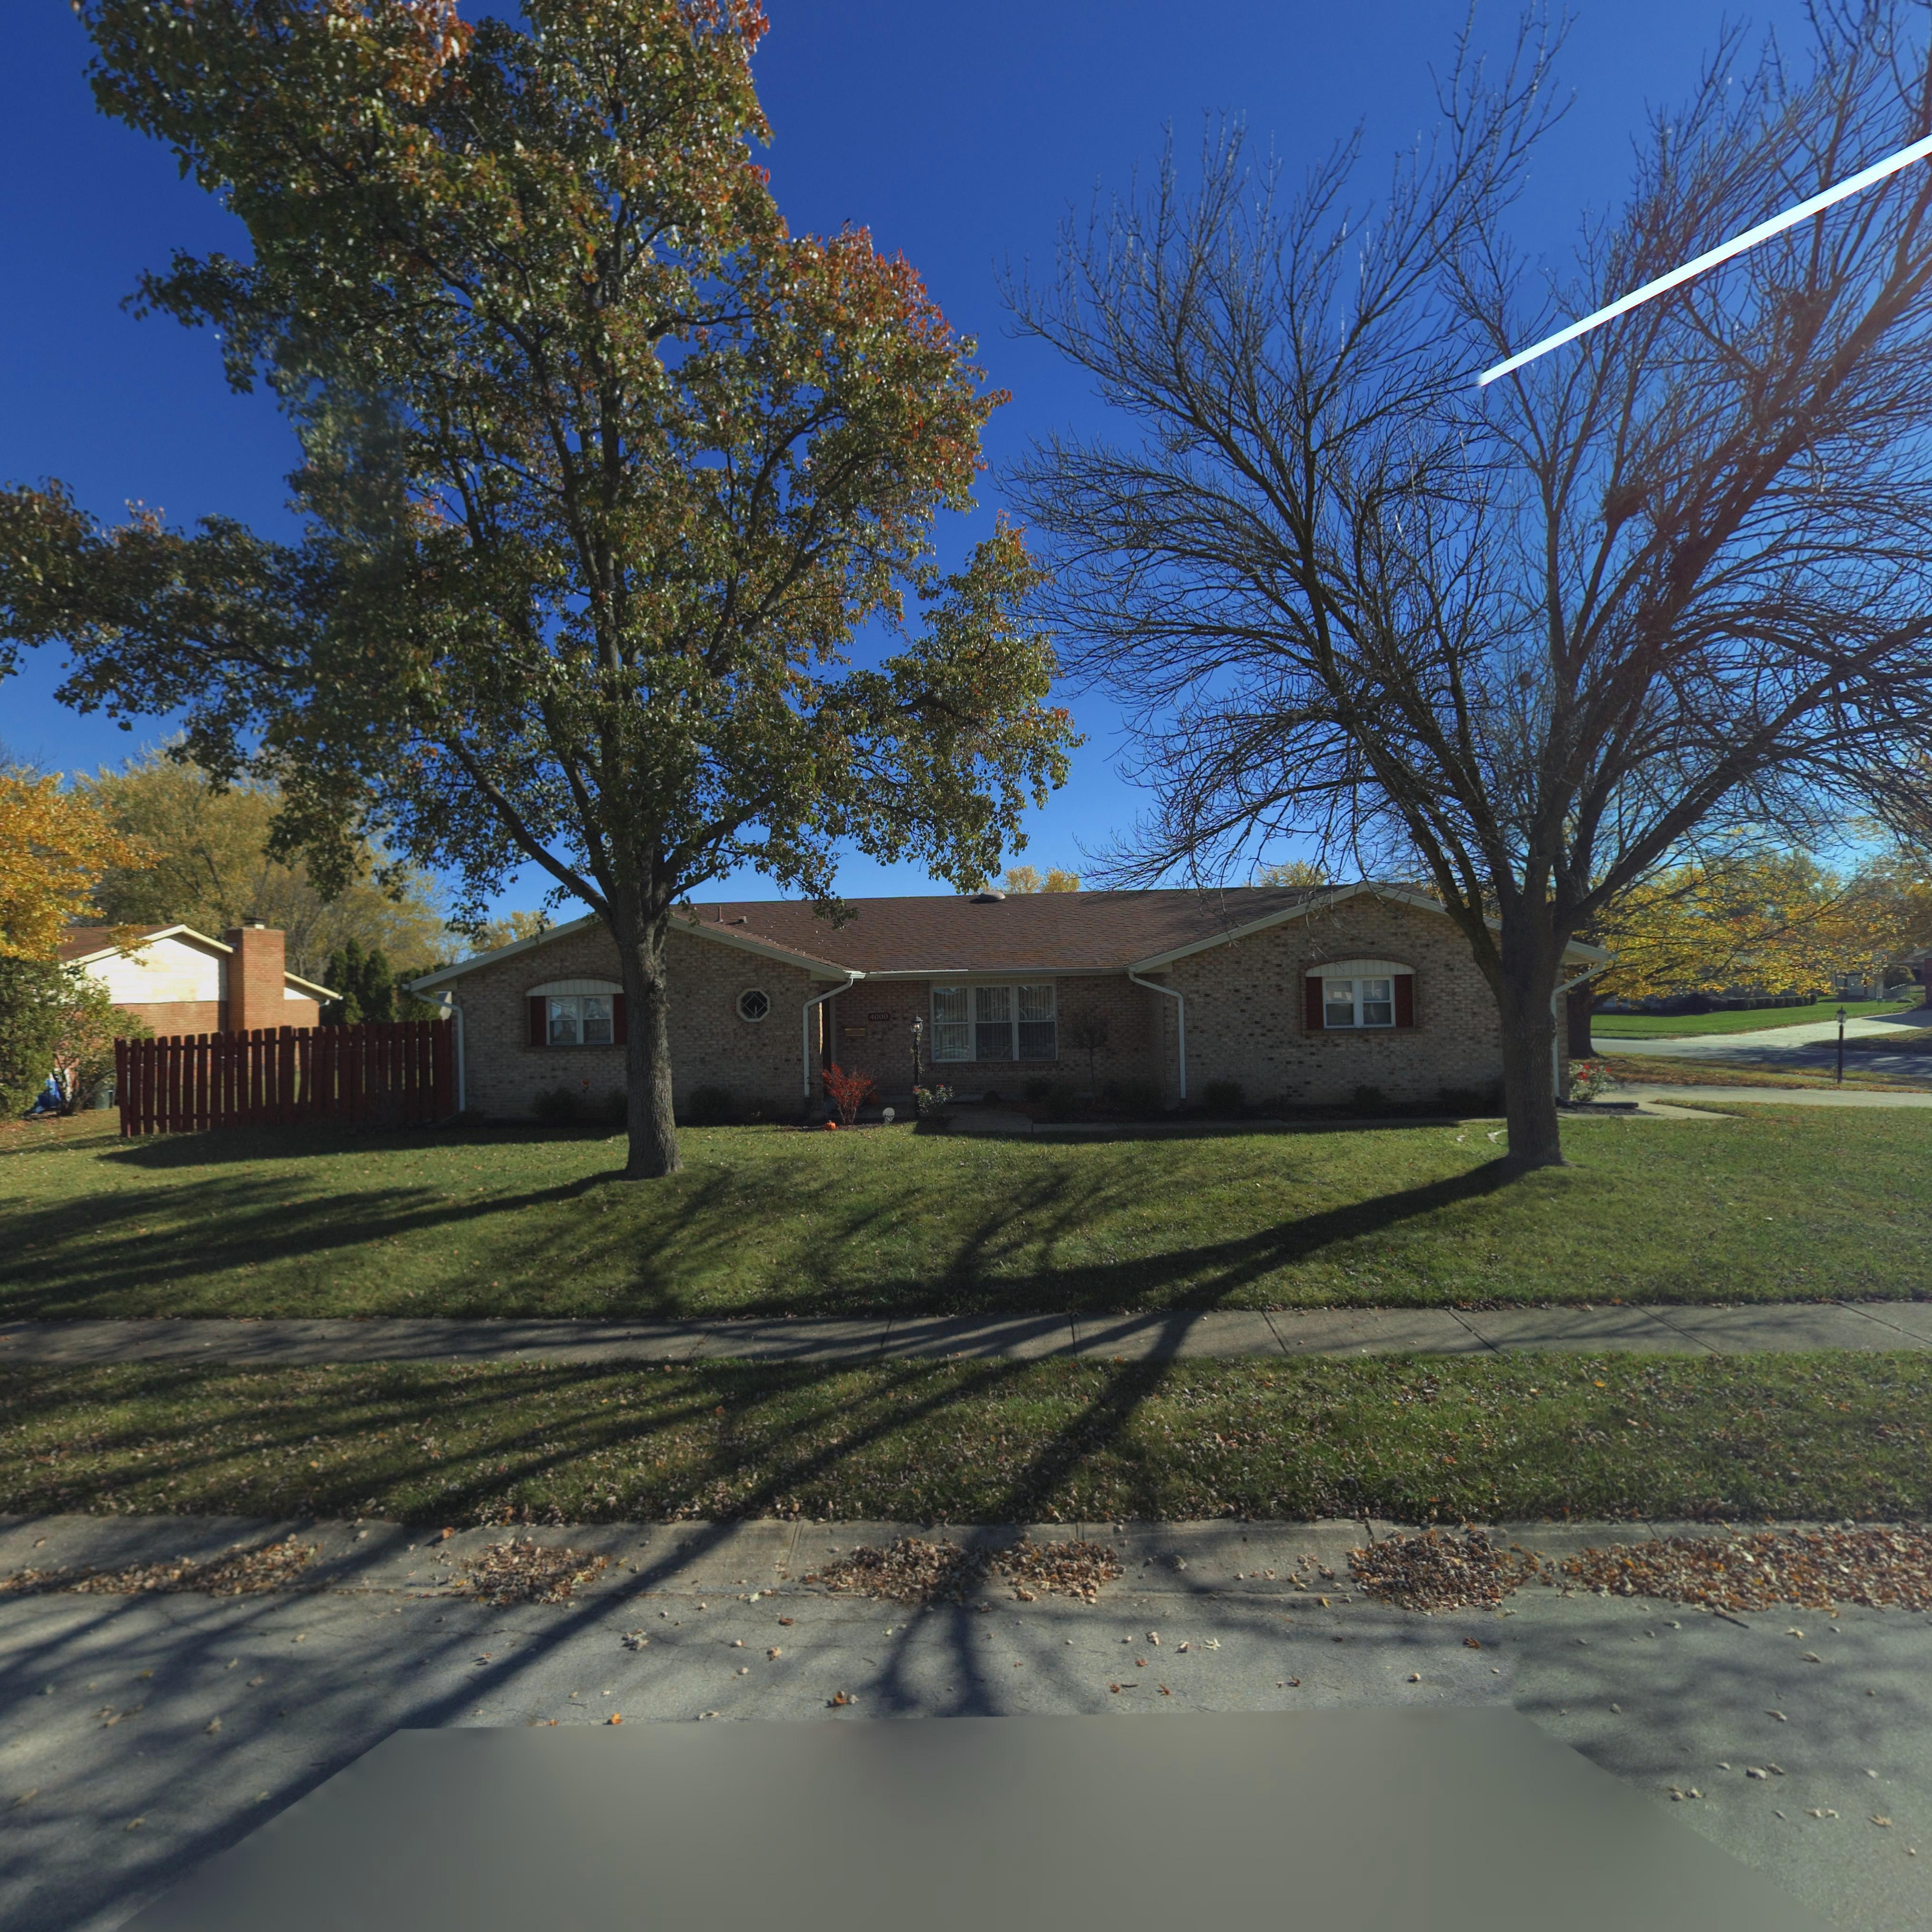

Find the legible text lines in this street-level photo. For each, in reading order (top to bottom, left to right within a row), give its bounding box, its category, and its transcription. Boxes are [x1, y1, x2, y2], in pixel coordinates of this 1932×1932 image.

[869, 1013, 889, 1020] StreetNumber: 4000